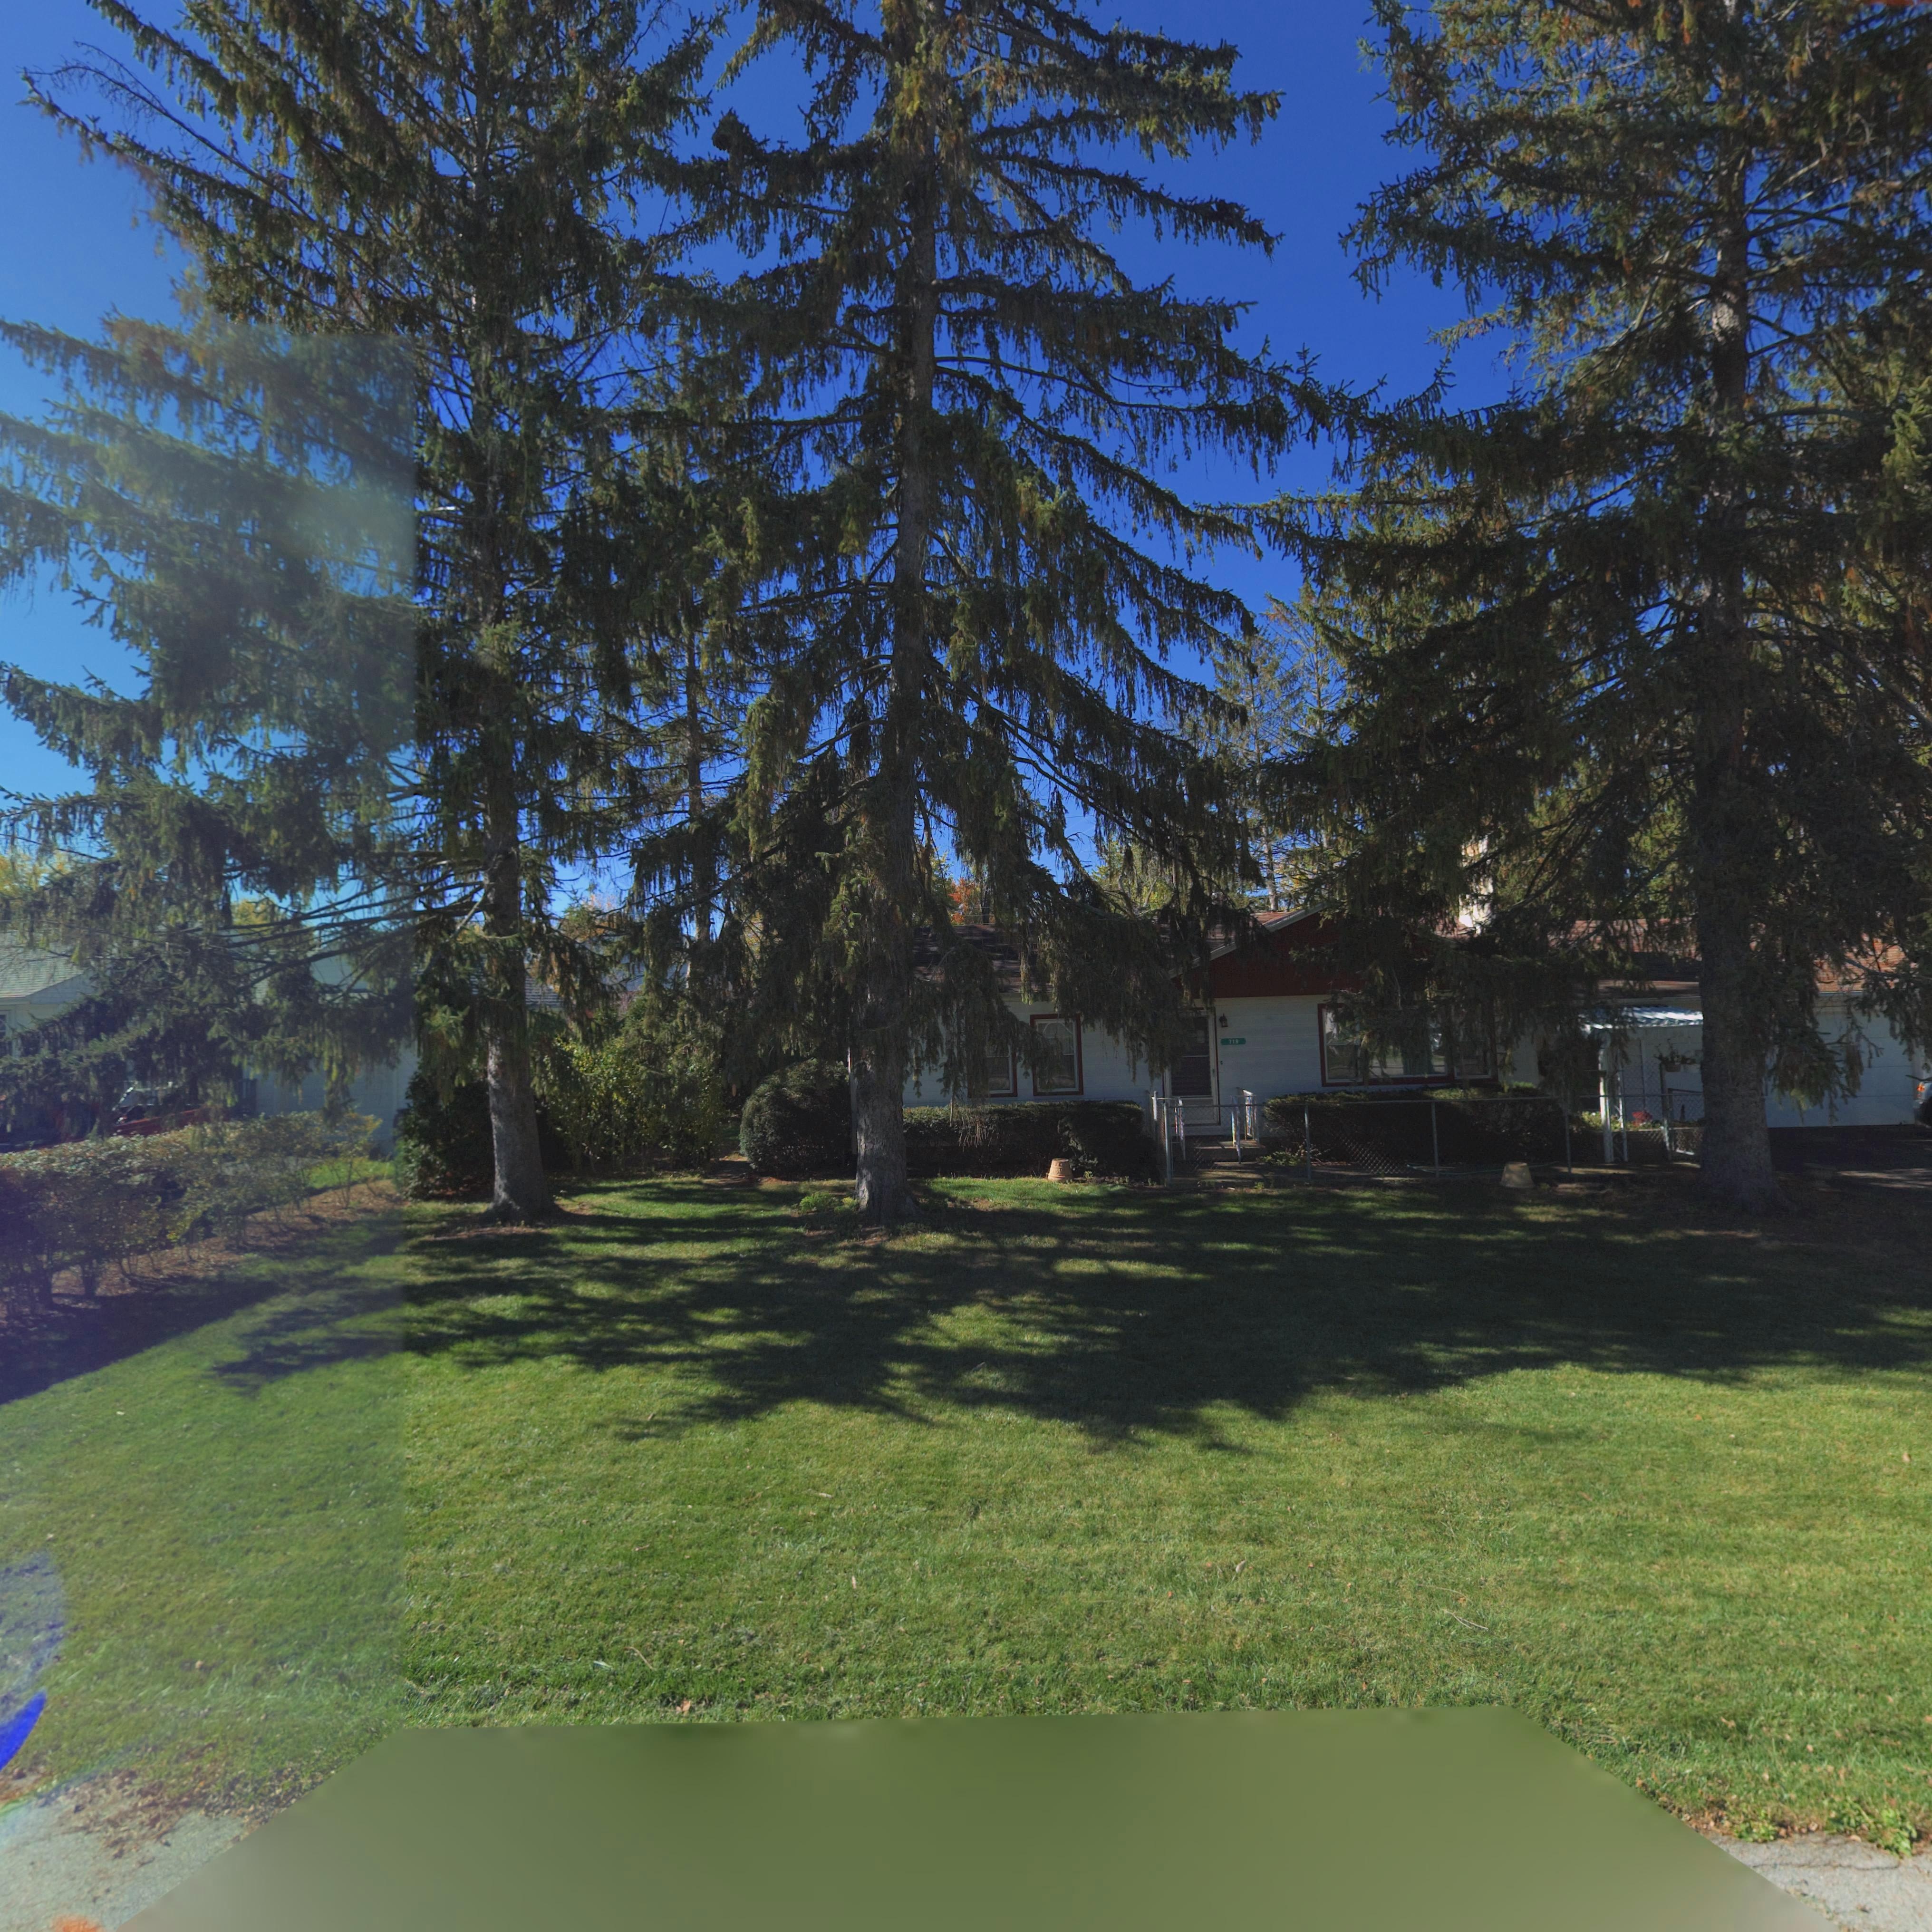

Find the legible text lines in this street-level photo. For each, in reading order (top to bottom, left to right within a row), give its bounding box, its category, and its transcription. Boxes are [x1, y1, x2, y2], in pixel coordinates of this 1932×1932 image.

[1228, 1039, 1239, 1044] StreetNumber: 719